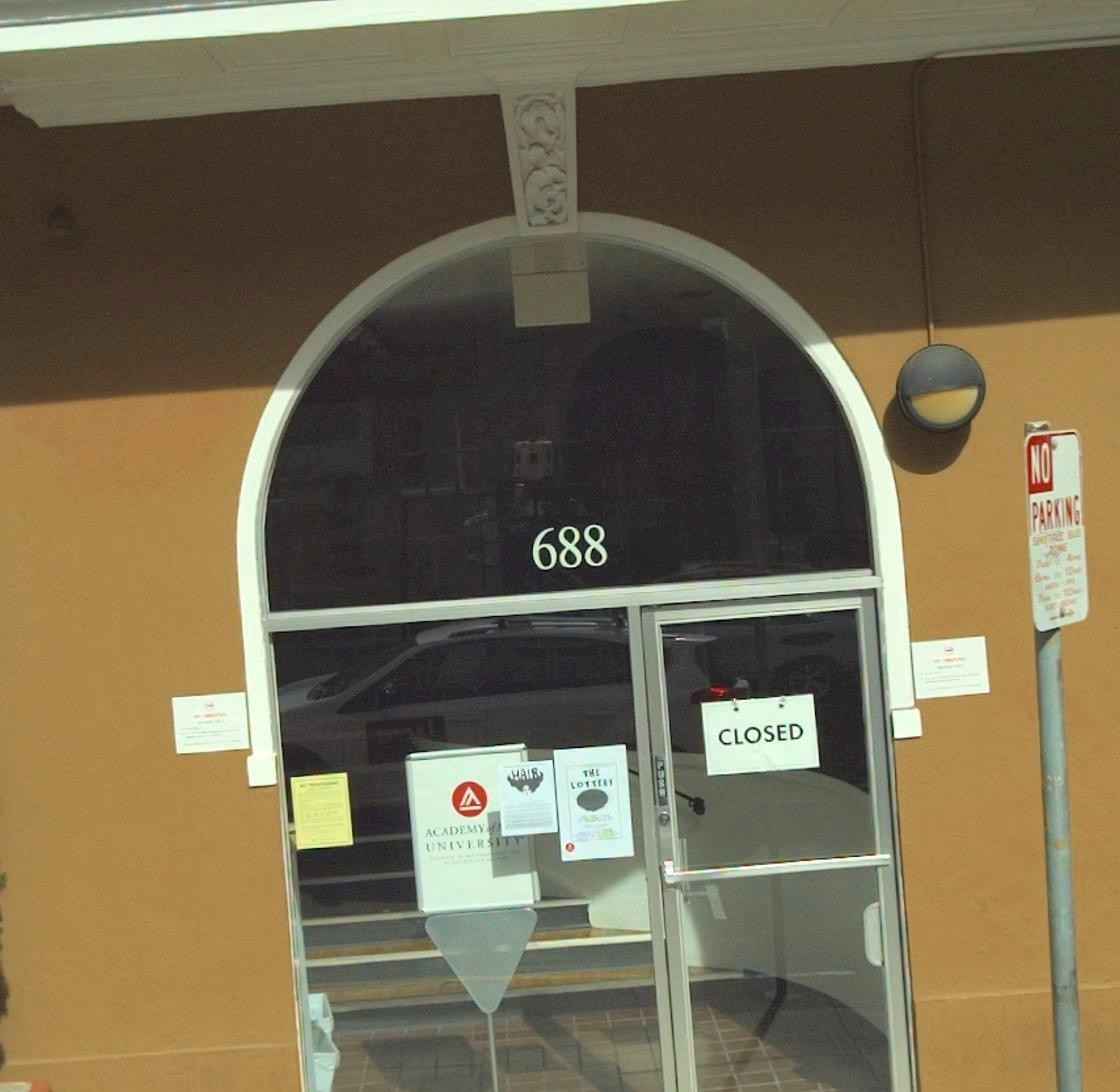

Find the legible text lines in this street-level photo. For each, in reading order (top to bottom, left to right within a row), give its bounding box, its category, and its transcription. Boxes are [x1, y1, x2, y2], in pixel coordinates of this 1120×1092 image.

[1028, 435, 1054, 488] None: NO
[1028, 490, 1085, 536] None: PARKING
[526, 519, 612, 575] StreetNumber: 688
[715, 717, 807, 750] None: CLOSED
[568, 777, 611, 792] None: LOTTER
[580, 766, 603, 781] None: THE
[421, 819, 503, 842] None: ACADEMY of
[422, 833, 525, 855] None: UNIVERSITY